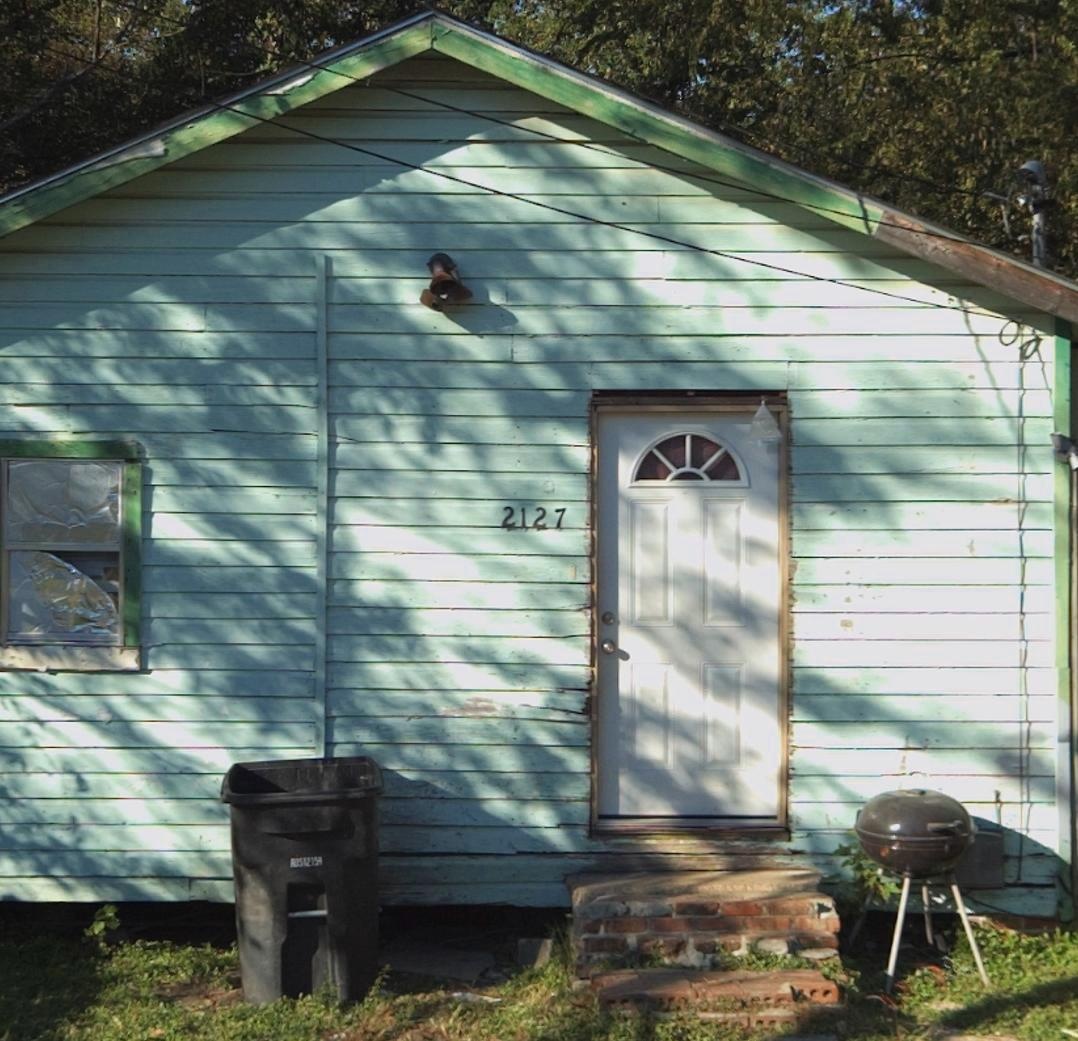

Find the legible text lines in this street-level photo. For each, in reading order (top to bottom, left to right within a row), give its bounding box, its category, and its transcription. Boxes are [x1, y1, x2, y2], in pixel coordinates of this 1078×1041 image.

[500, 505, 568, 530] StreetNumber: 2127